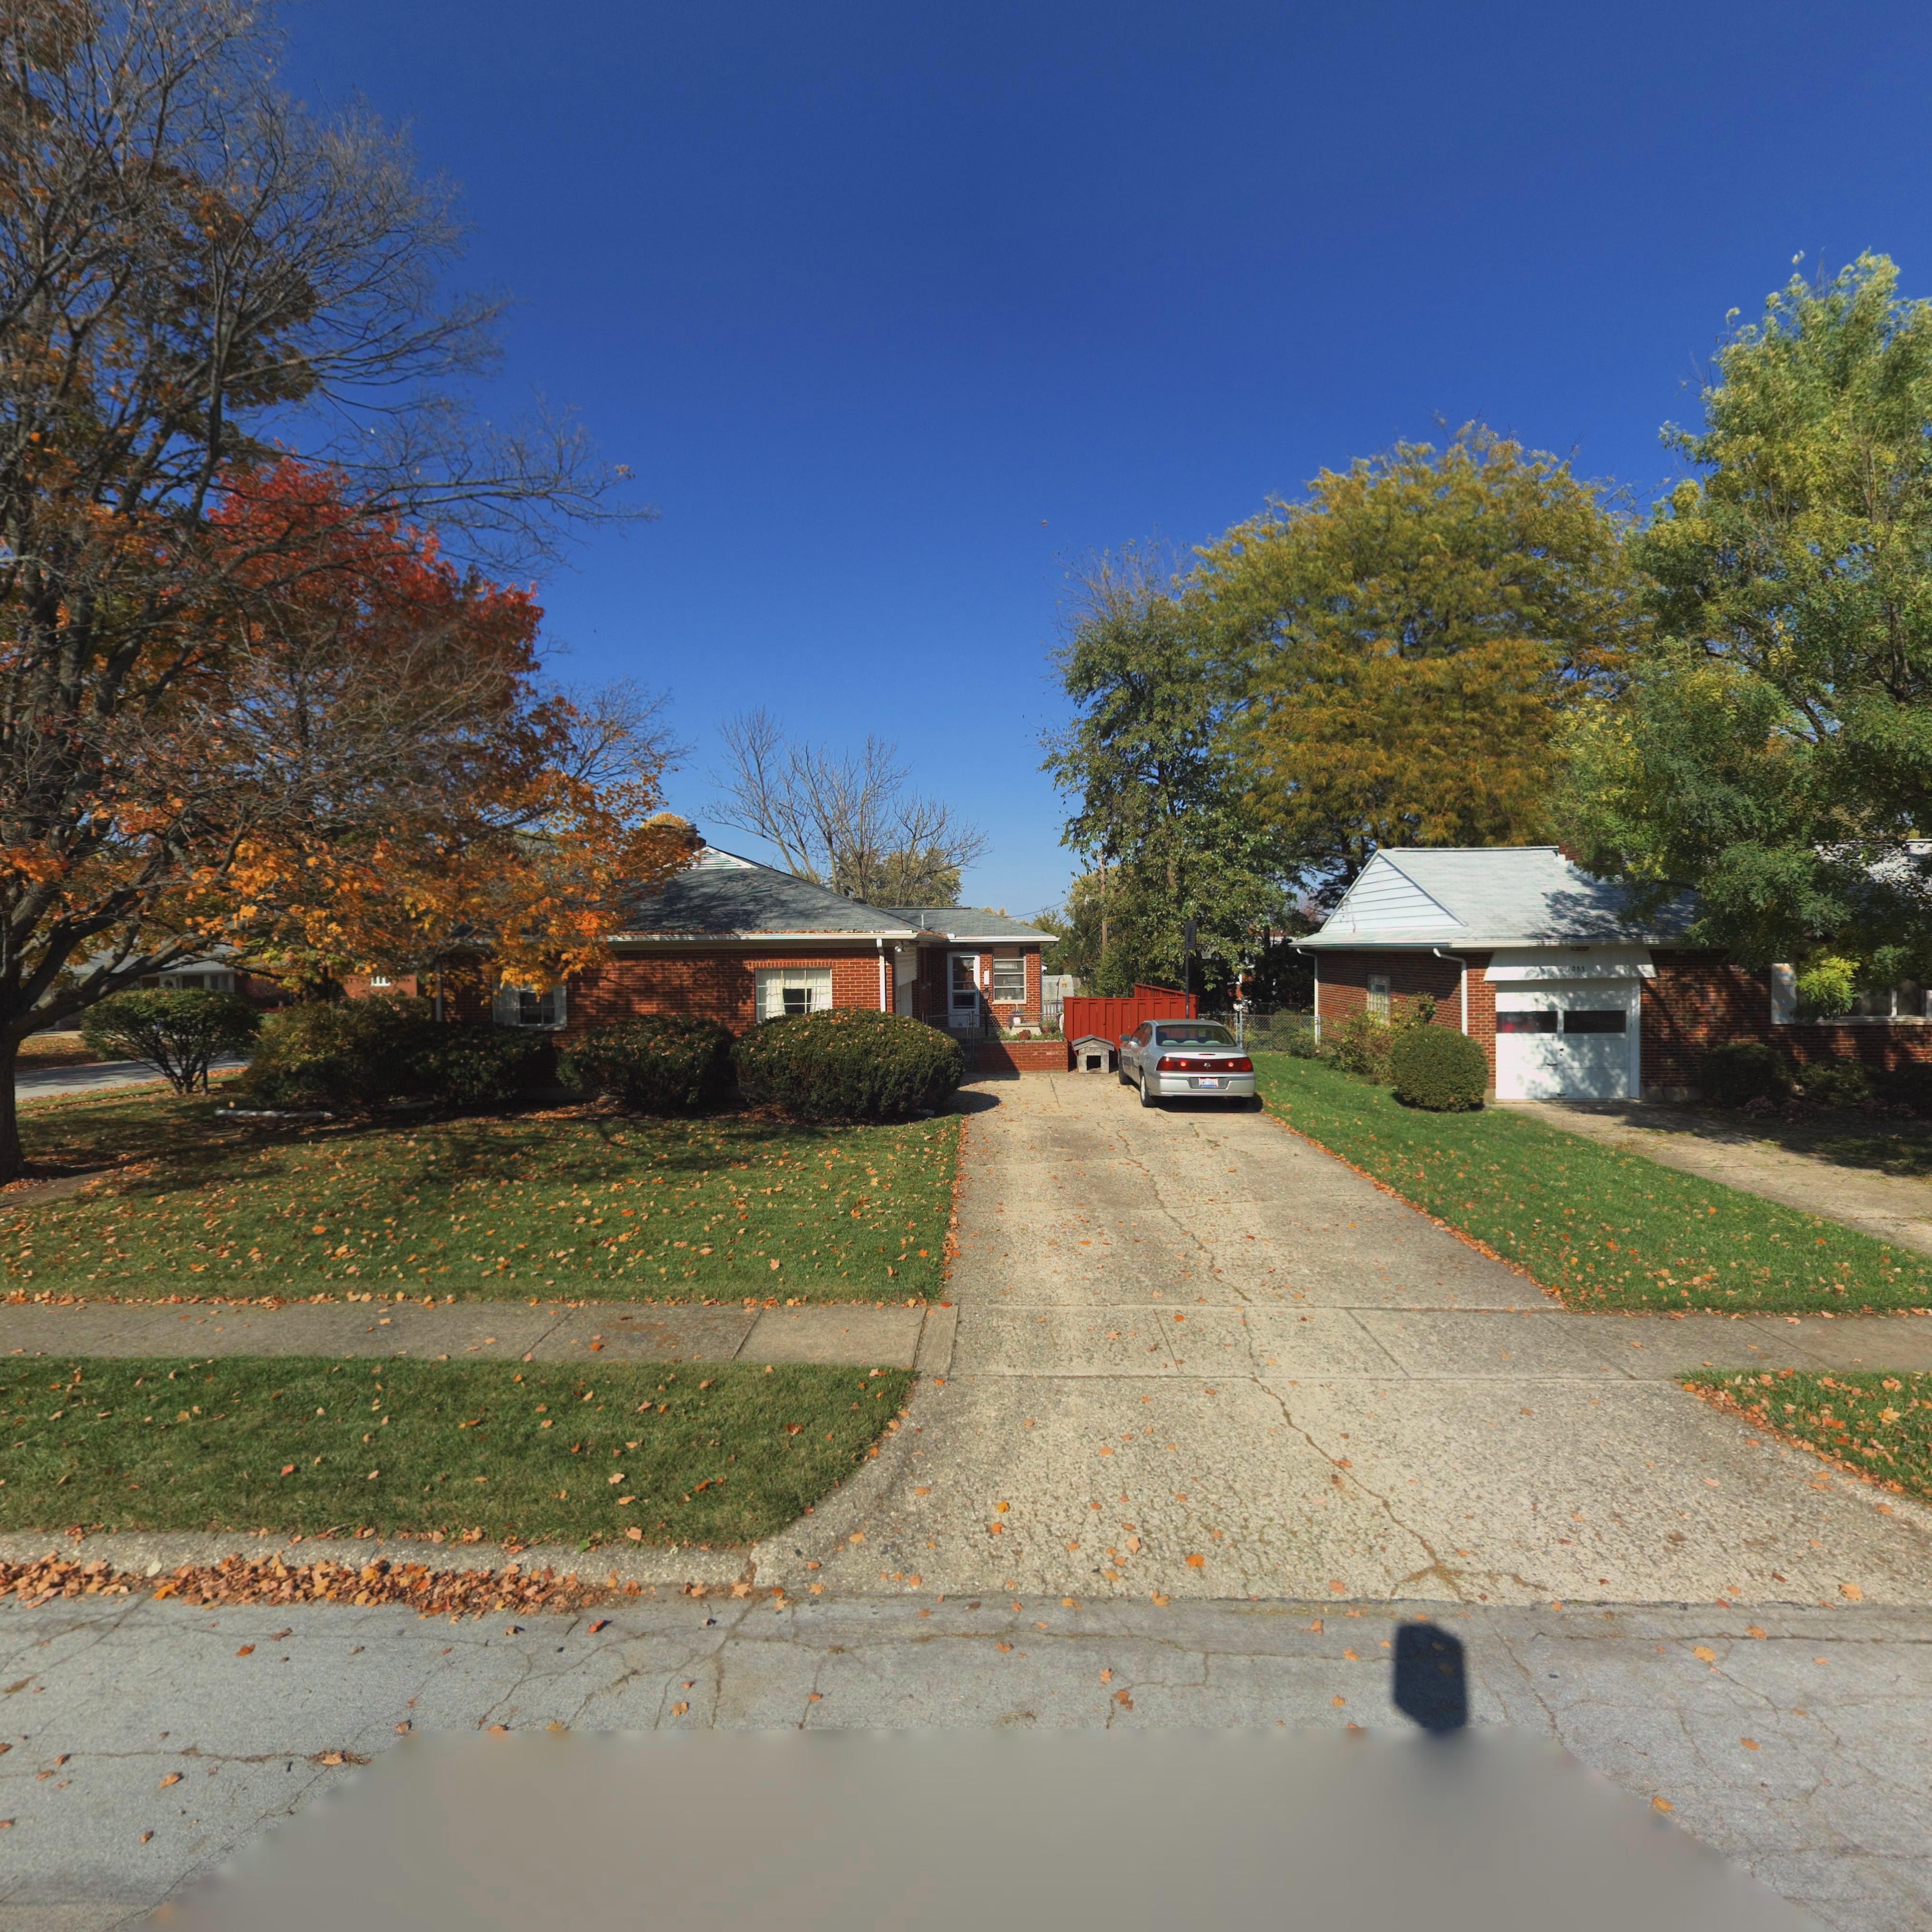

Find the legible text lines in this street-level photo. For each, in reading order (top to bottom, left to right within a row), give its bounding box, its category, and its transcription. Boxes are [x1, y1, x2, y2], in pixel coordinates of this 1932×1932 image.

[1566, 965, 1585, 972] StreetNumber: 1053